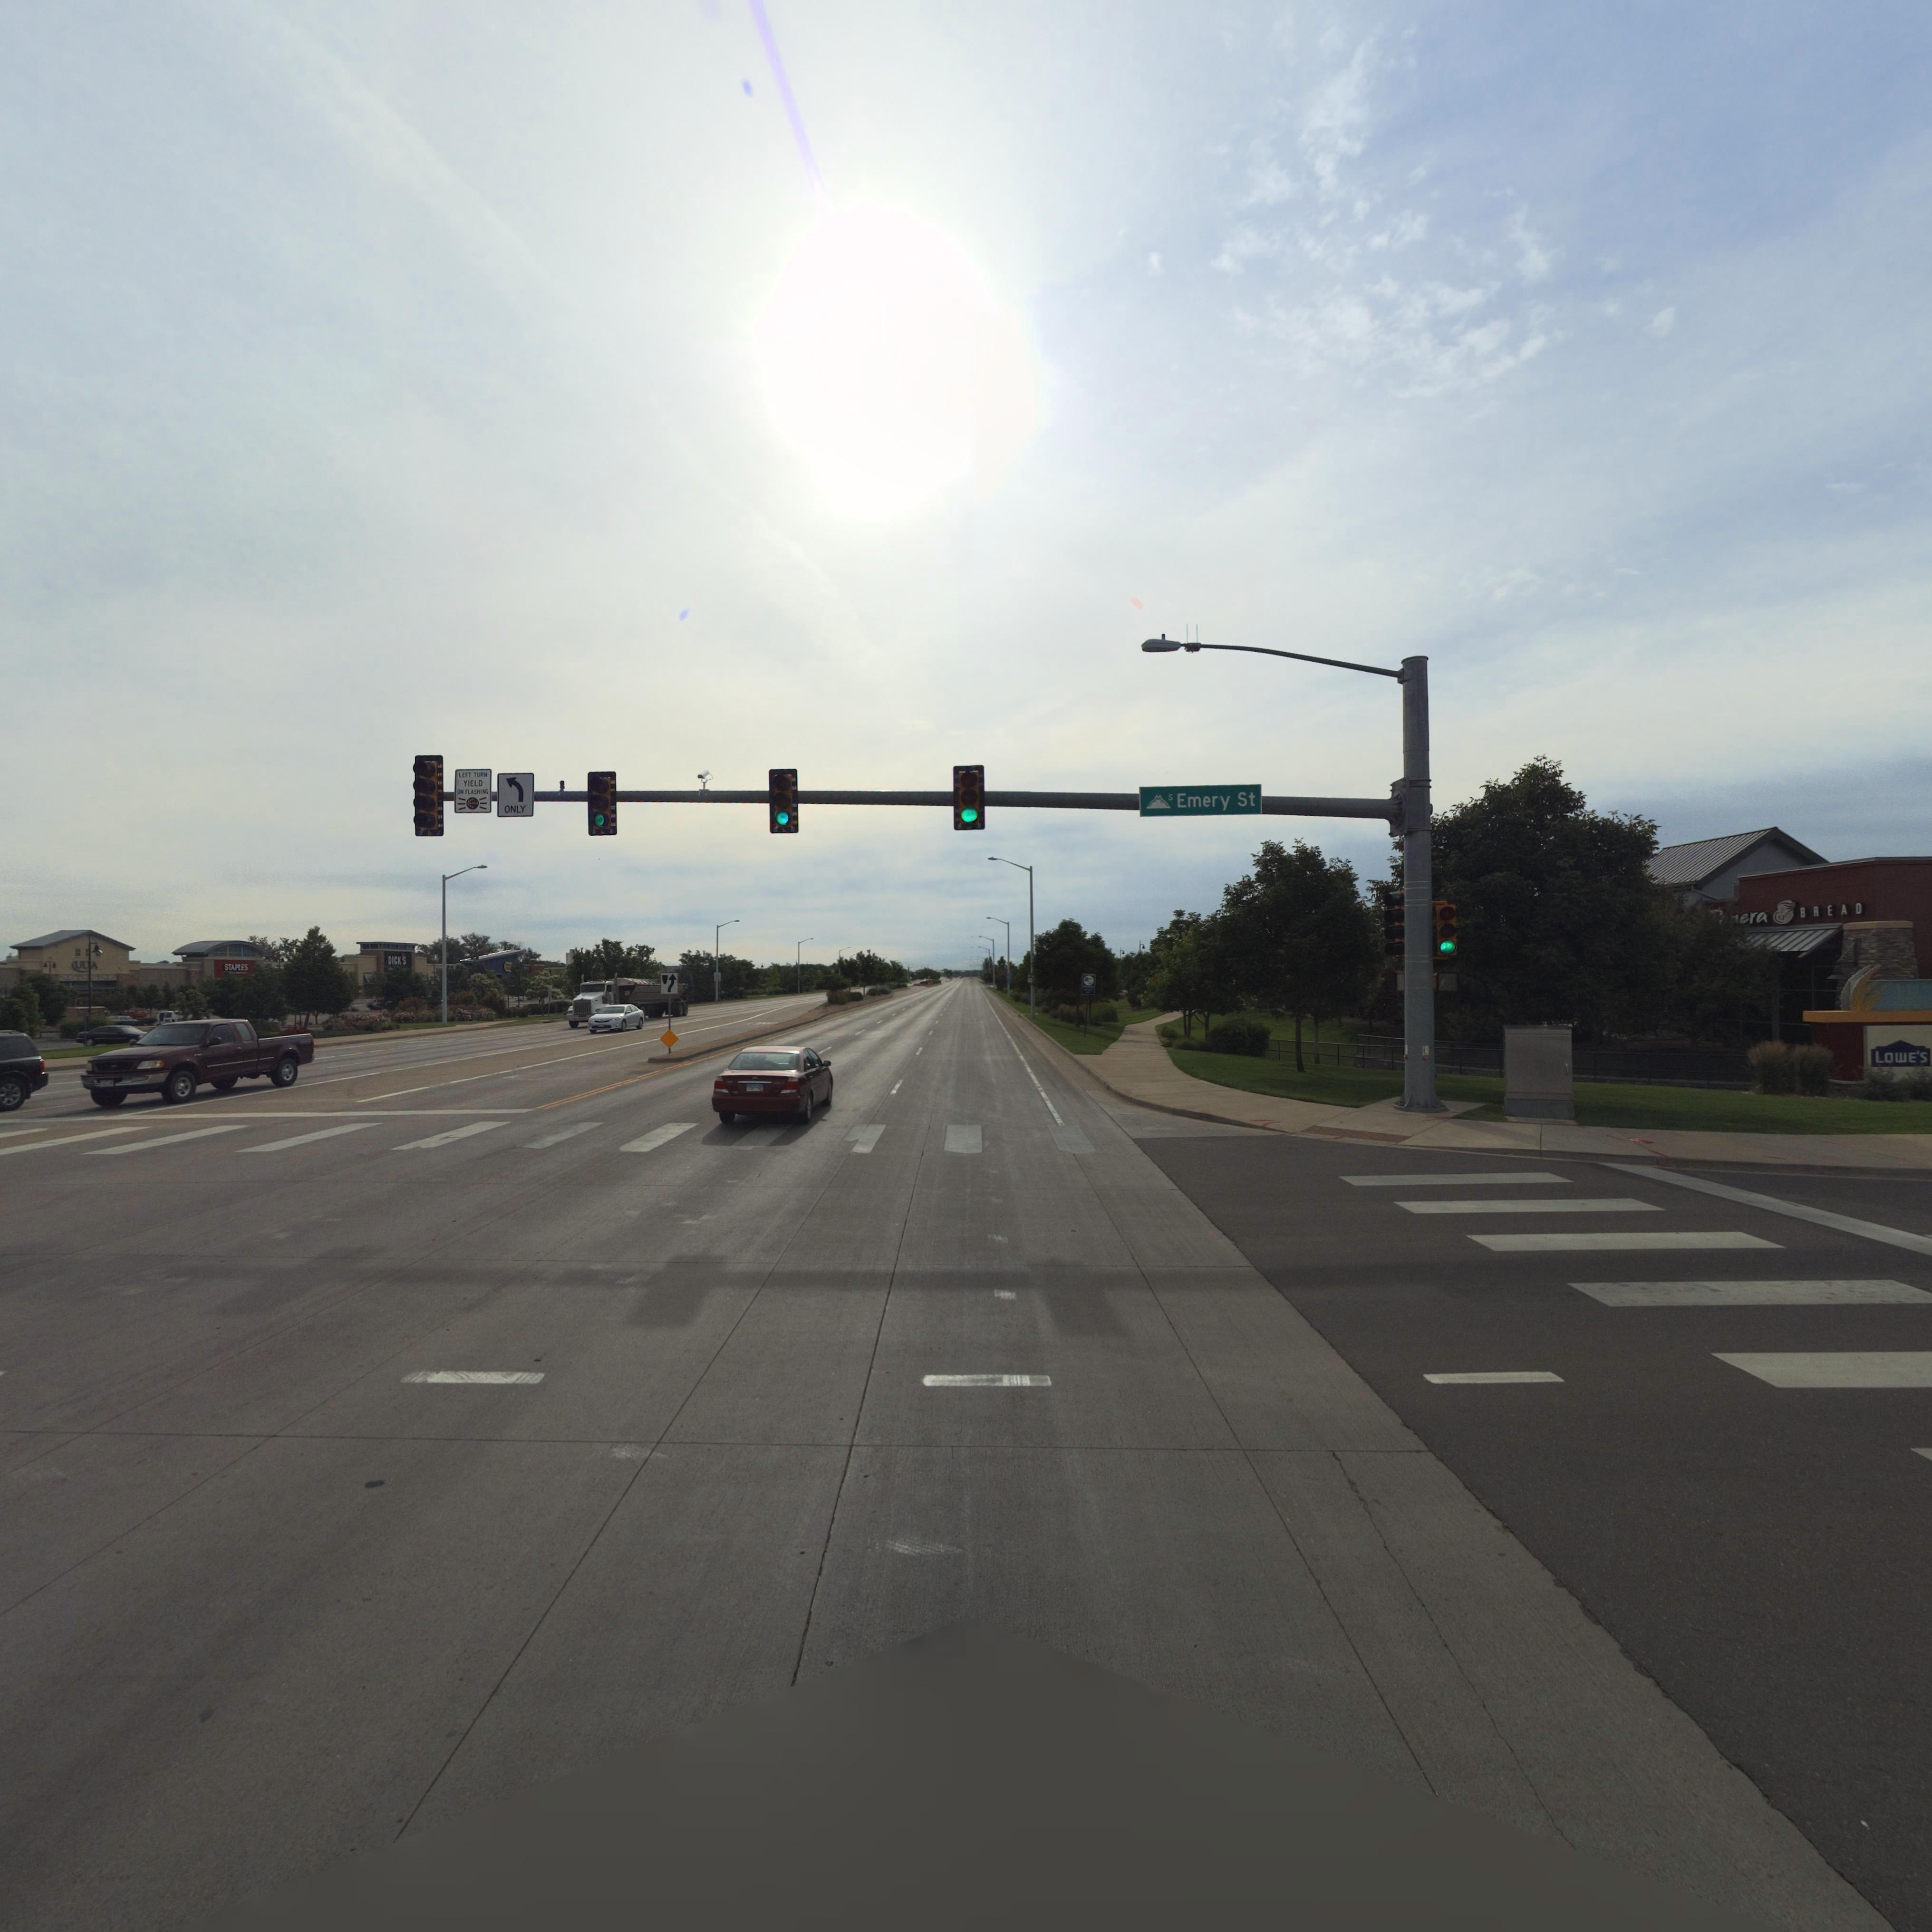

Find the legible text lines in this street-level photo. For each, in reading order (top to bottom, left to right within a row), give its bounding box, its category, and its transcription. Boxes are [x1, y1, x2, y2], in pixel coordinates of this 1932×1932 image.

[1167, 791, 1255, 811] StreetName: S Emery St
[1799, 902, 1862, 918] BusinessName: BREAD
[1706, 907, 1768, 927] BusinessName: ***era
[74, 960, 98, 969] BusinessName: ULTA
[224, 964, 248, 971] BusinessName: STAPLES
[388, 953, 406, 965] BusinessName: DICK'S
[504, 966, 512, 970] BusinessName: B**
[504, 962, 512, 966] BusinessName: B**T
[1875, 1049, 1928, 1063] BusinessName: Lowe's